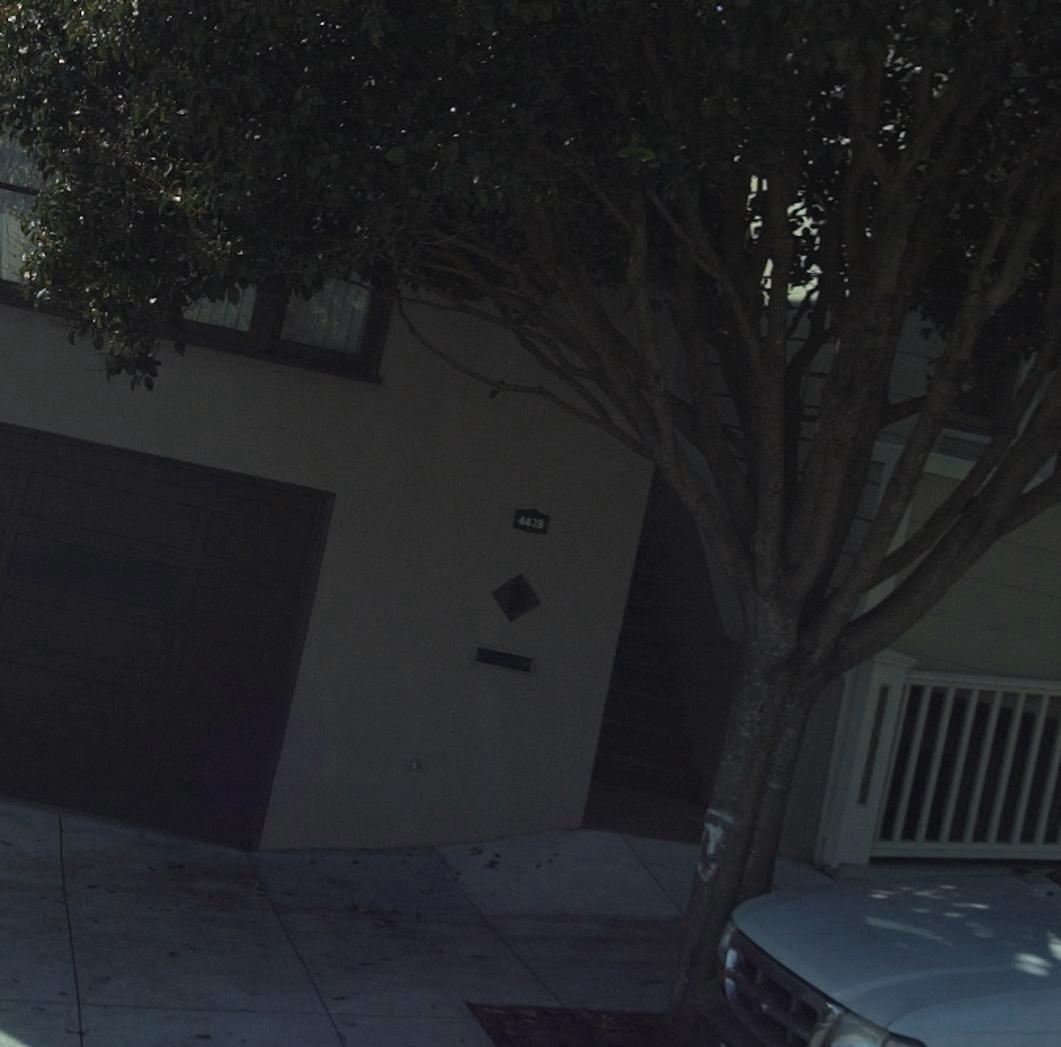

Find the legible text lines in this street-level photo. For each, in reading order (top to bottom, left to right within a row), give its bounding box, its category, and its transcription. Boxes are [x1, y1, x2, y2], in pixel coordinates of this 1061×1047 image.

[515, 514, 546, 531] StreetNumber: 4439